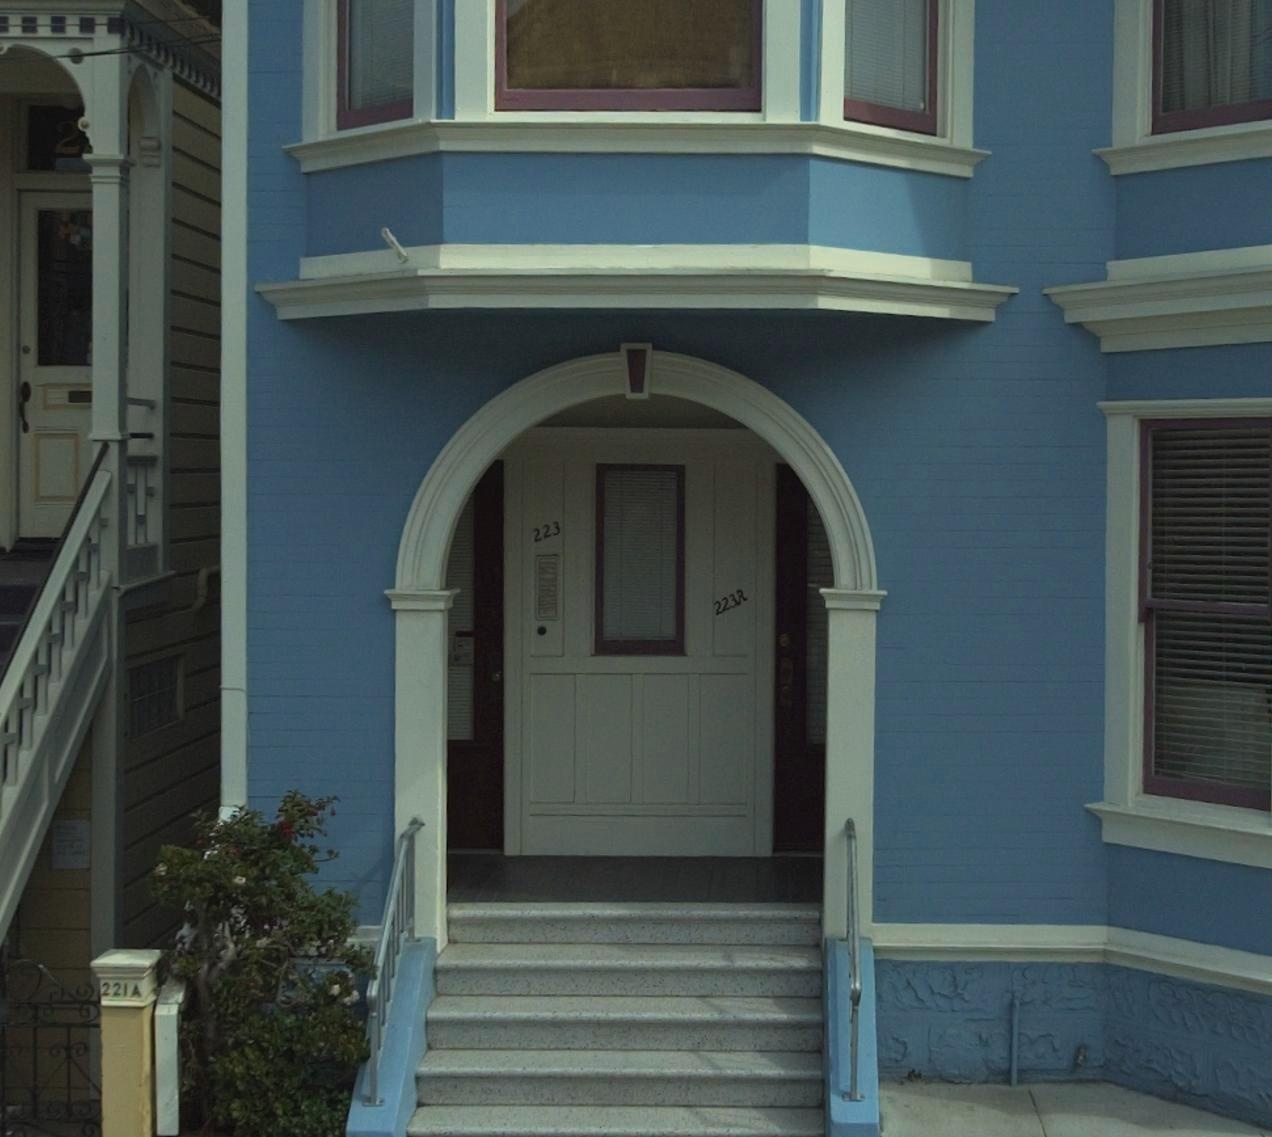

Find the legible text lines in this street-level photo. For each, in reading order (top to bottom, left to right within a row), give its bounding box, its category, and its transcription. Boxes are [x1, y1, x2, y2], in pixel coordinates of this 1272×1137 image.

[532, 519, 561, 545] StreetNumber: 223
[714, 585, 751, 619] StreetNumber: 223a
[100, 980, 142, 999] StreetNumber: 221A